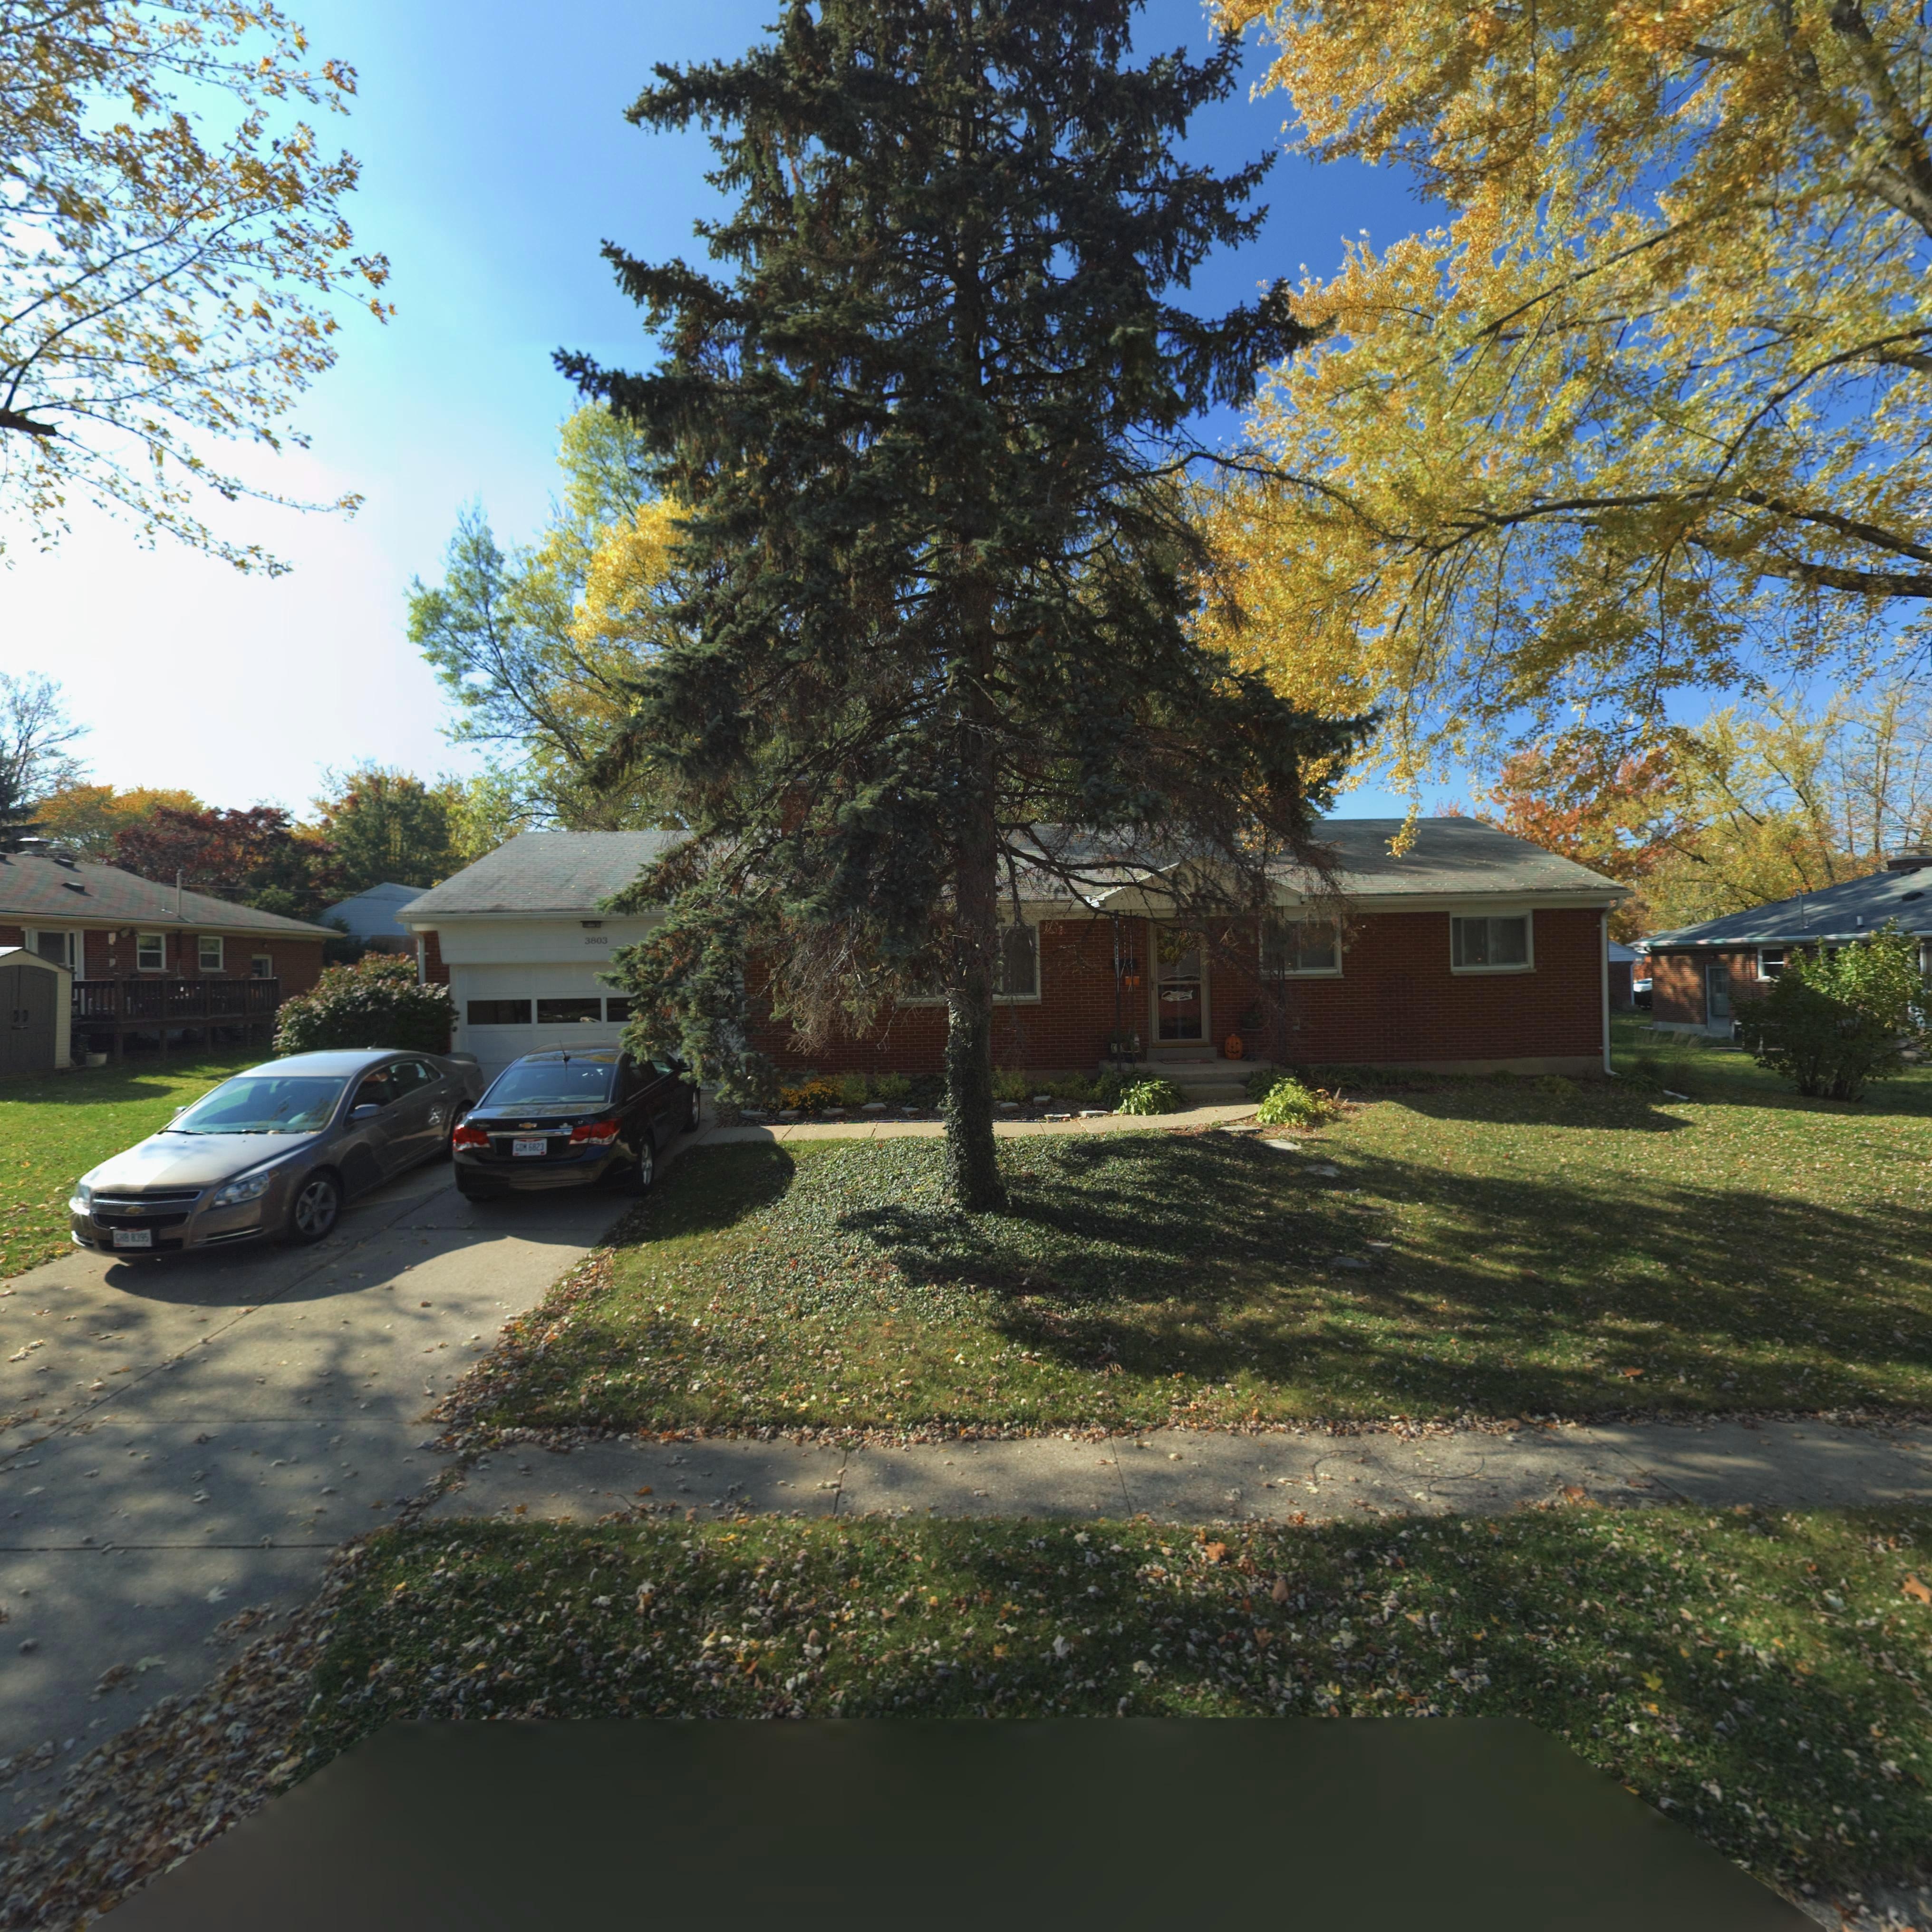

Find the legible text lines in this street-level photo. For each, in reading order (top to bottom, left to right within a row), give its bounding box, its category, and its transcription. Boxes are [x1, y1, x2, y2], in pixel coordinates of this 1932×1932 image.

[584, 936, 608, 945] StreetNumber: 3803
[476, 1123, 490, 1128] None: CRUZE
[577, 1120, 583, 1124] None: LT
[515, 1142, 544, 1152] None: GDM 6823